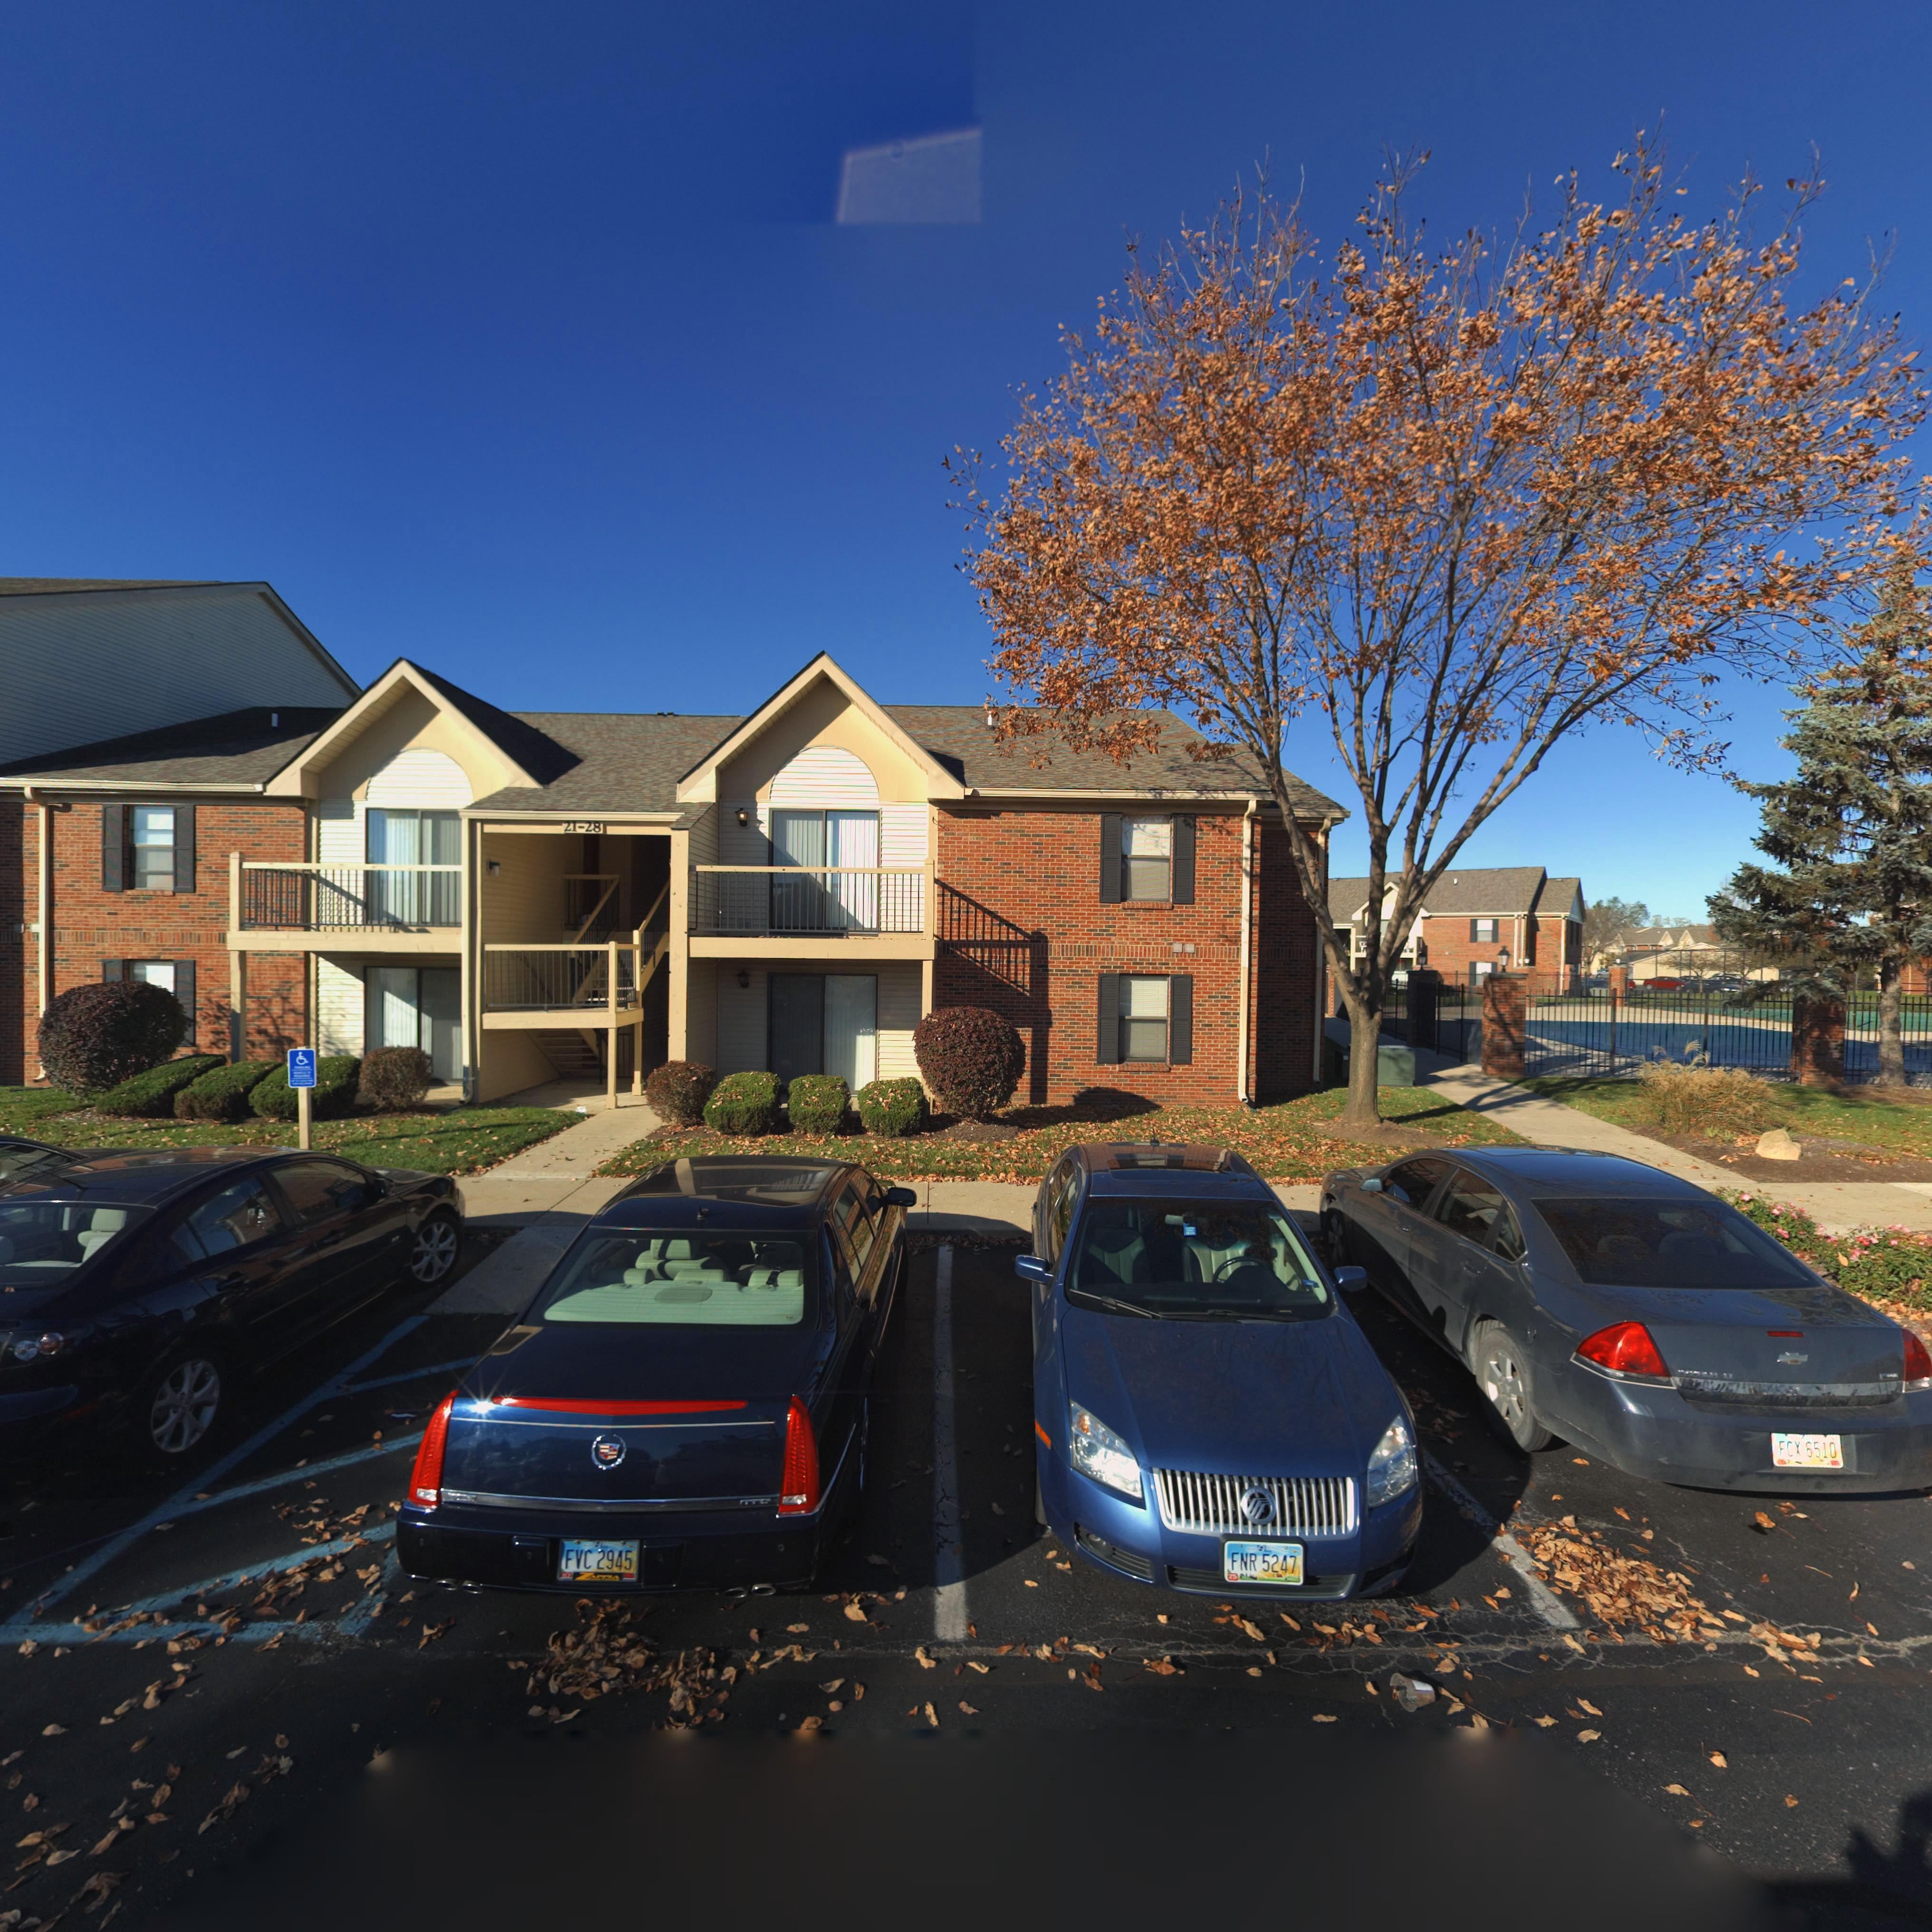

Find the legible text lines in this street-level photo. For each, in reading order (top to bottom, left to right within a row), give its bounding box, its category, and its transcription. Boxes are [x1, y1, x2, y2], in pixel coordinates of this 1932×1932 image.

[563, 821, 602, 833] StreetNumber: 21-28